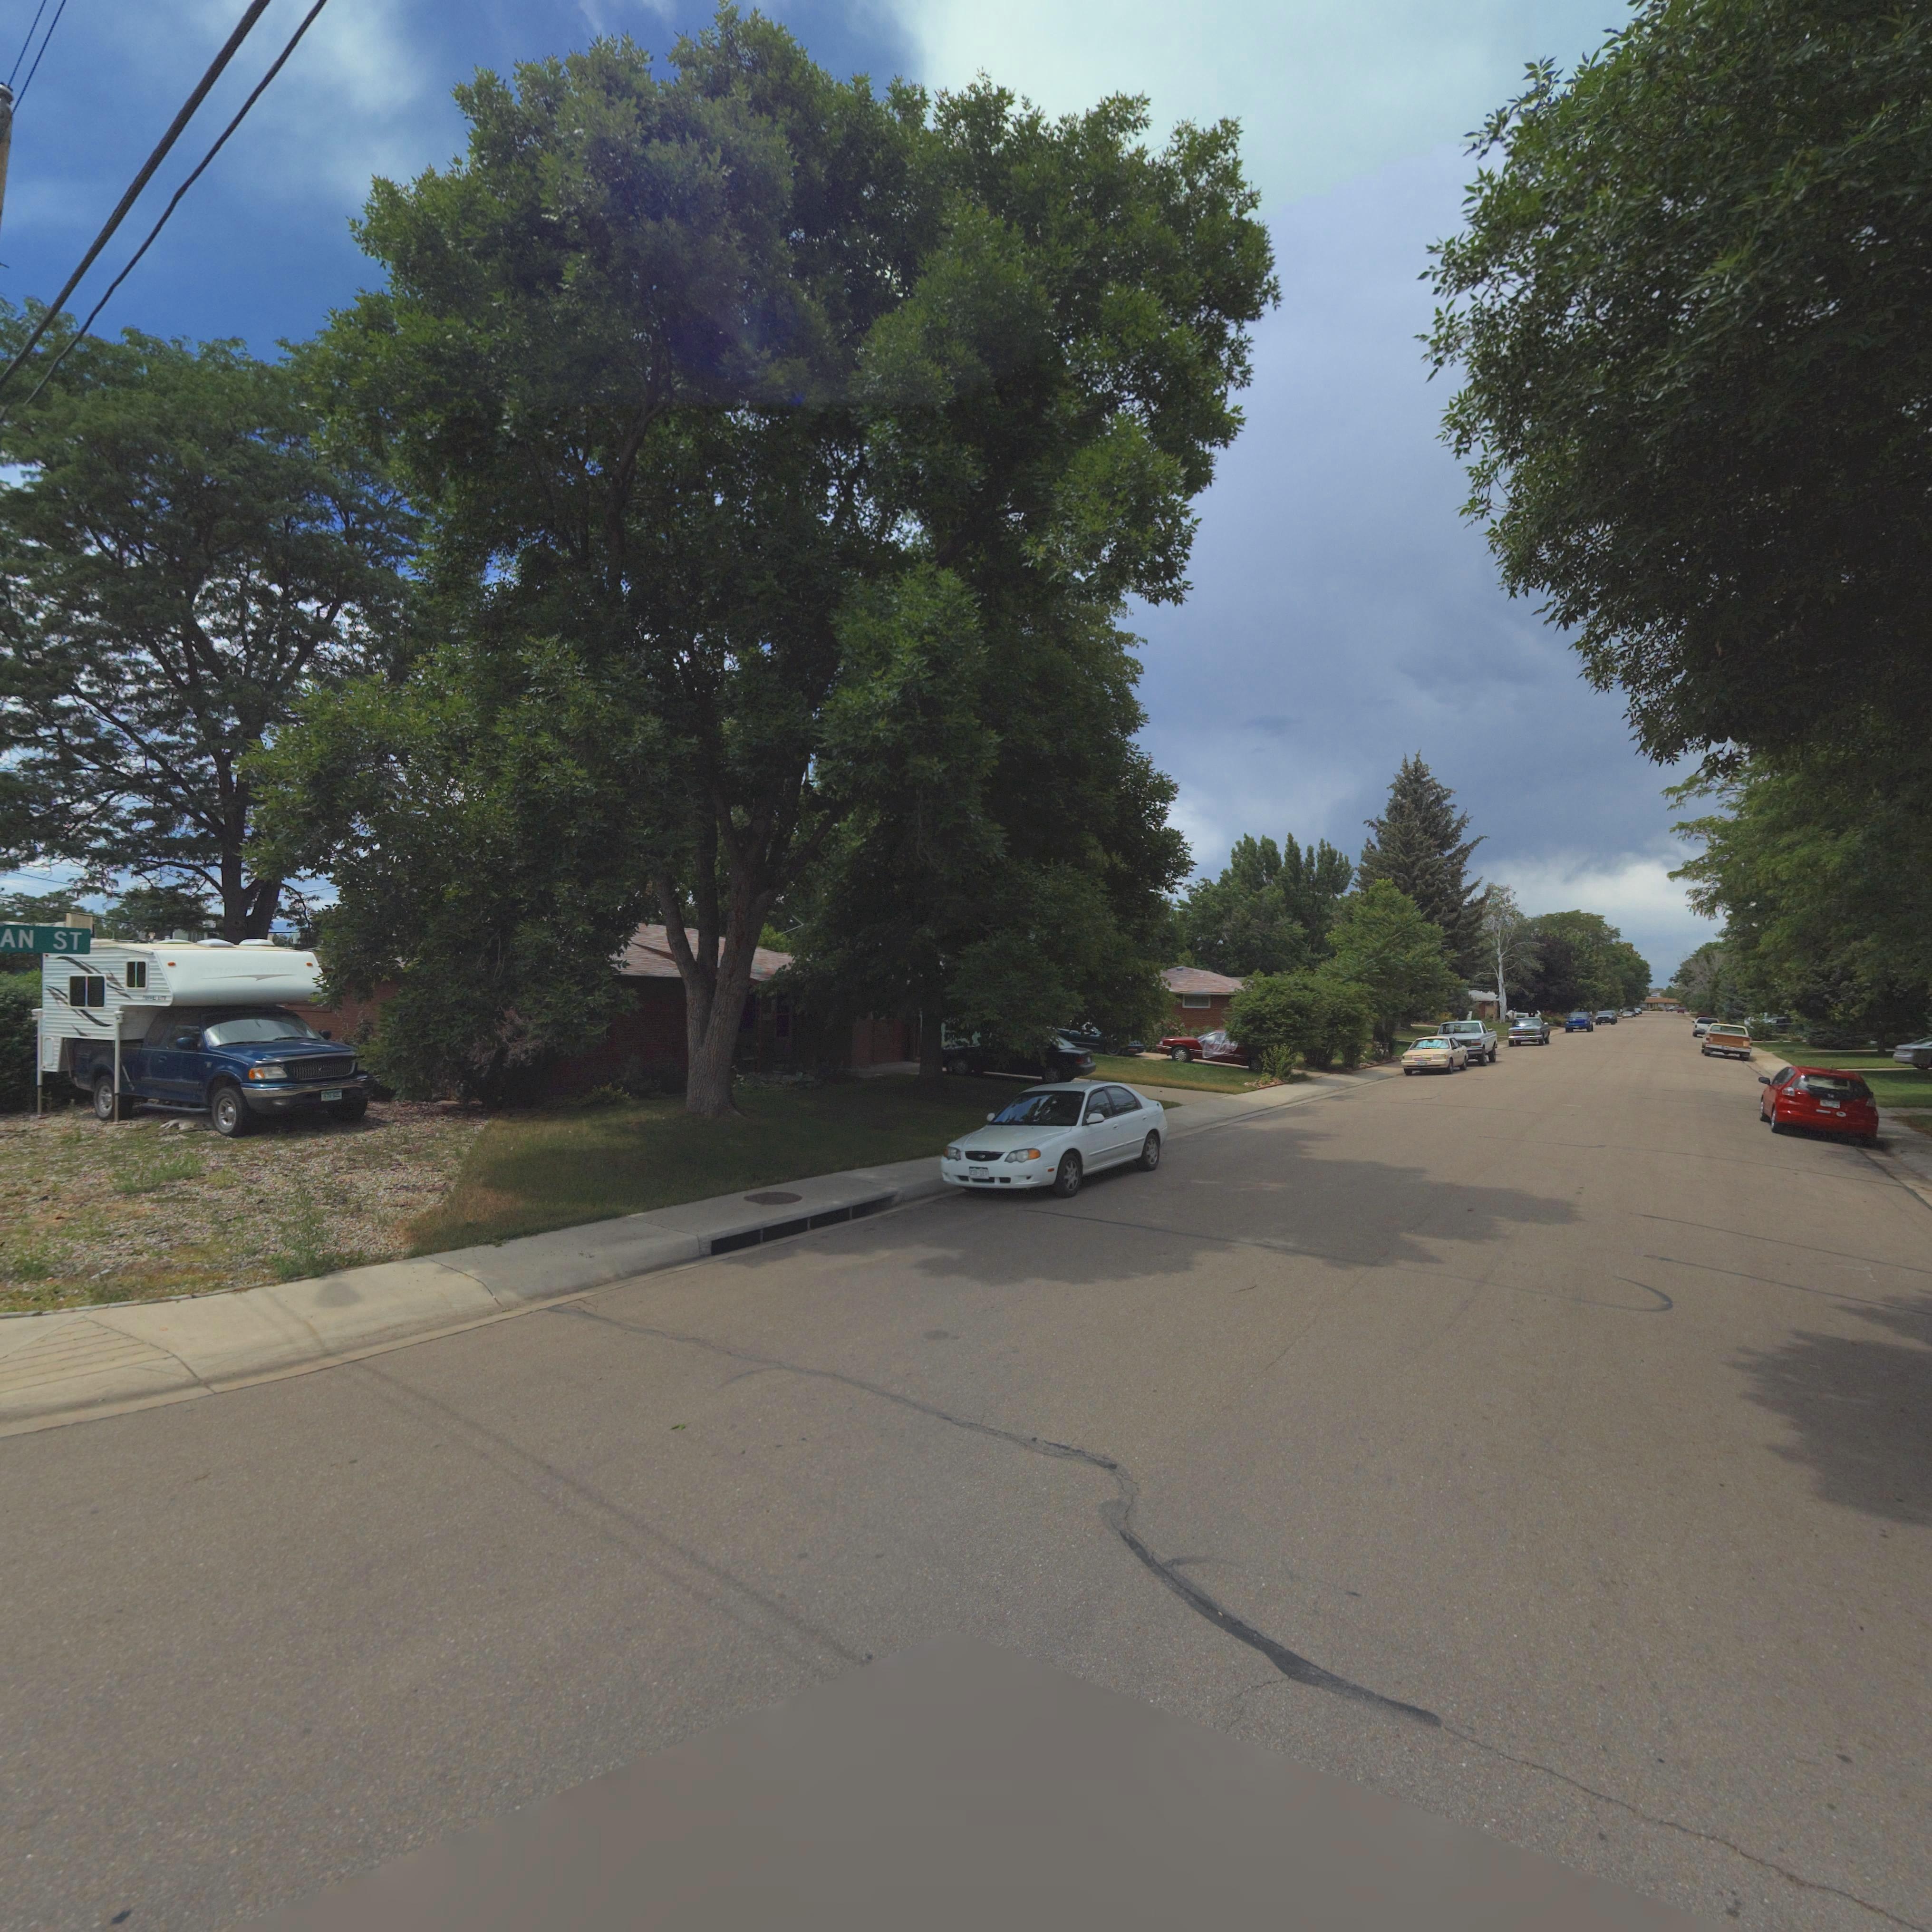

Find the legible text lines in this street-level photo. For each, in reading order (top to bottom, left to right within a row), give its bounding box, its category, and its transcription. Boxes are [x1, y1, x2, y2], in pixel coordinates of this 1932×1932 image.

[17, 928, 83, 951] StreetName: N ST